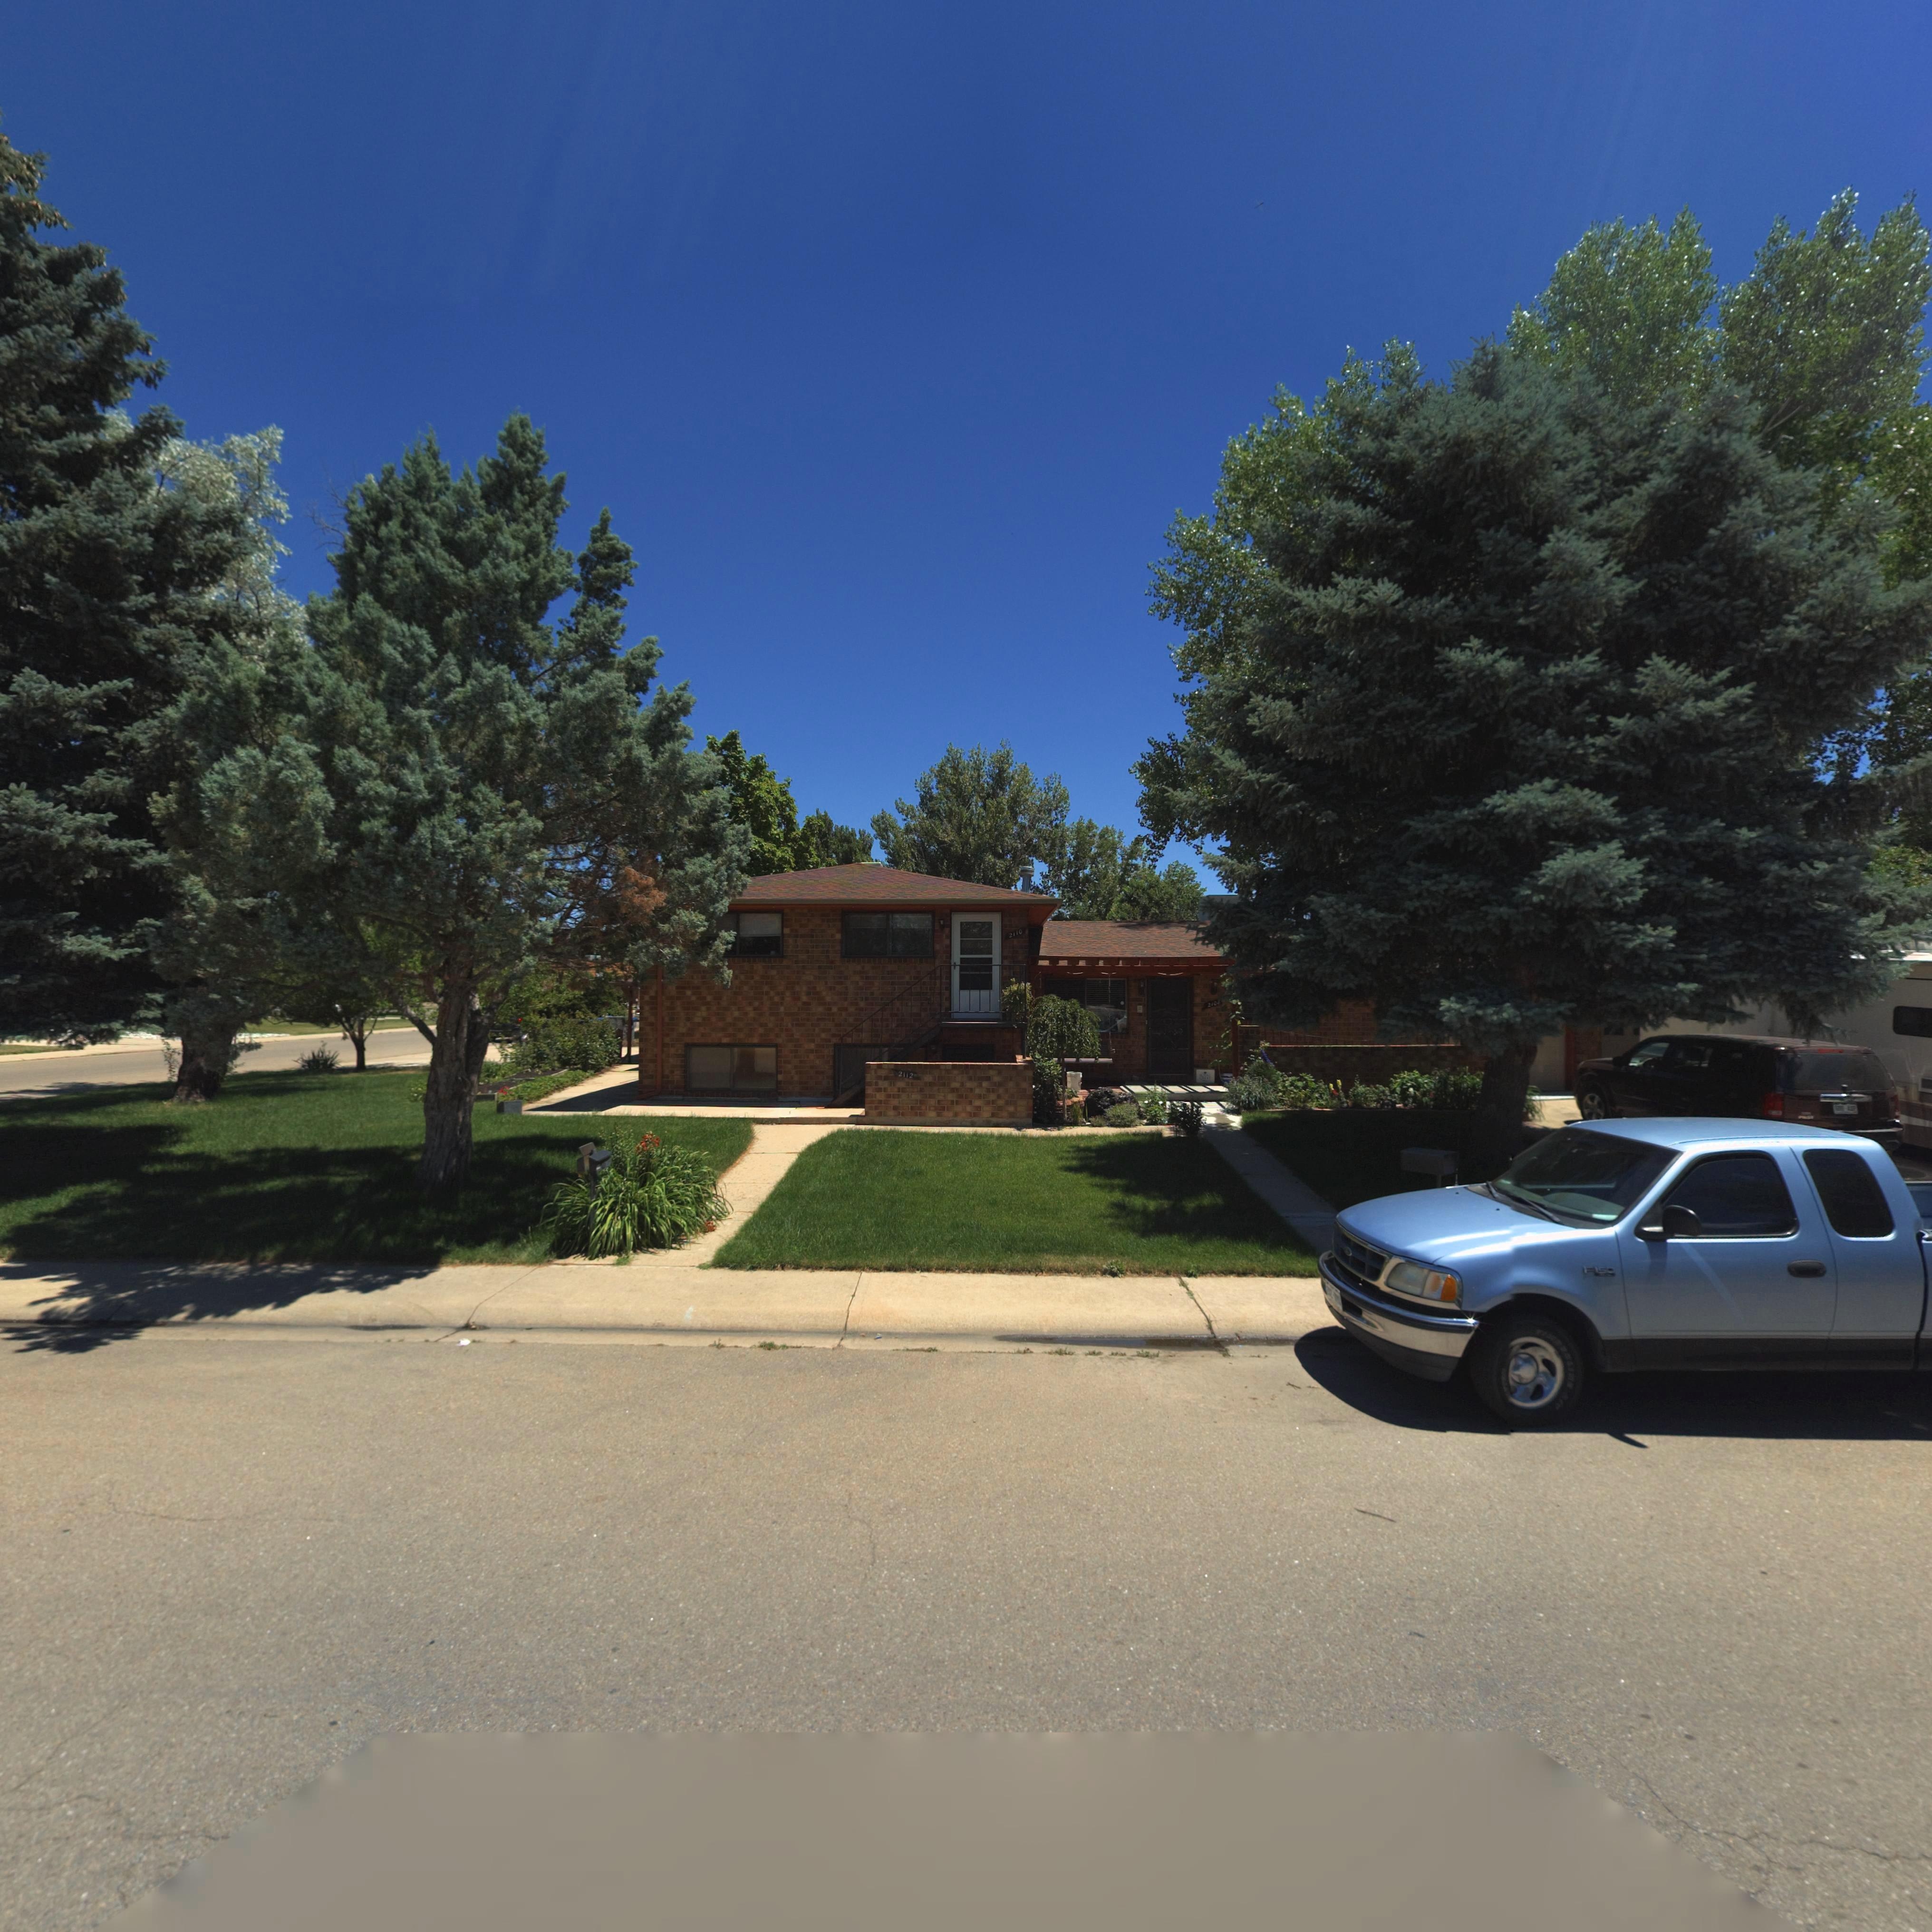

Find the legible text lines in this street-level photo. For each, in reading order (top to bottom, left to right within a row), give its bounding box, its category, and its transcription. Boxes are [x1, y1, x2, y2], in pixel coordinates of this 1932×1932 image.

[1007, 927, 1023, 938] StreetNumber: 2110
[1206, 999, 1221, 1008] StreetNumber: 2103
[897, 1071, 914, 1080] StreetNumber: 2112